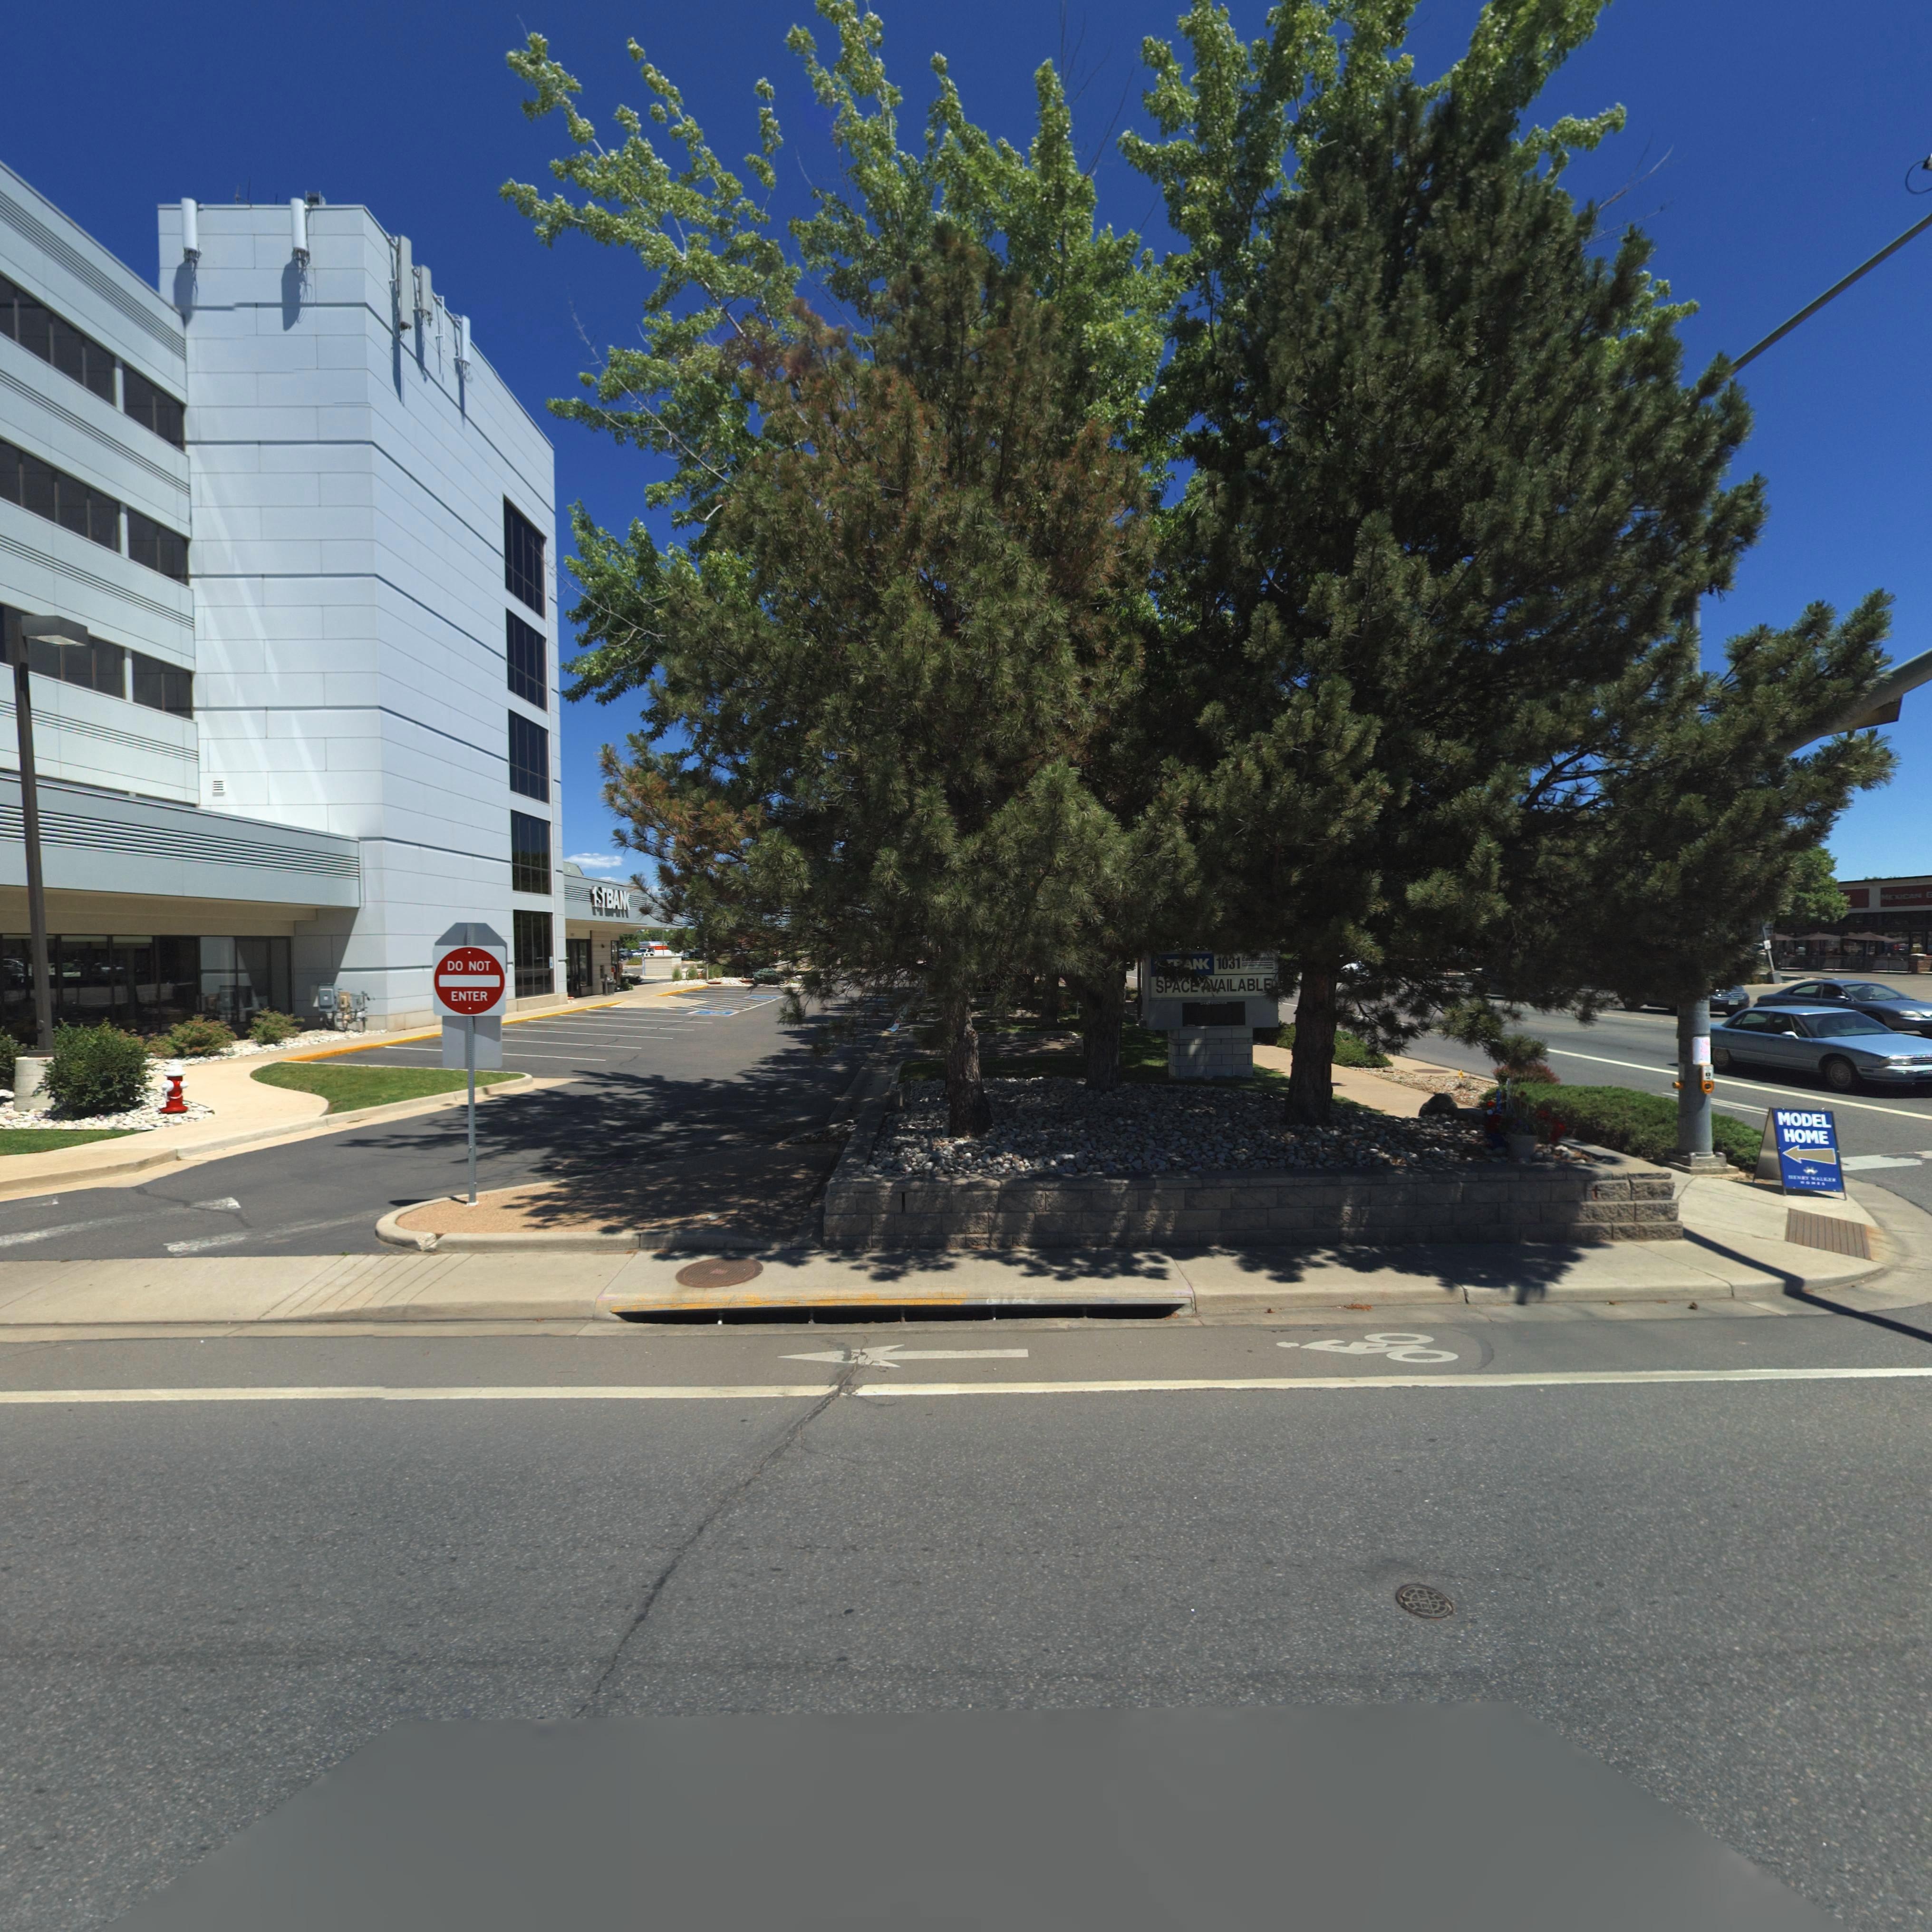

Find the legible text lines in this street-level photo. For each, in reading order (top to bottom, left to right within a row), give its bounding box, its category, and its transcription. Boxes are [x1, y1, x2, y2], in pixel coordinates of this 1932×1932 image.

[590, 884, 632, 911] BusinessName: 1**BAN*
[1192, 957, 1210, 970] BusinessName: N*
[1216, 955, 1241, 970] StreetNumber: 1031